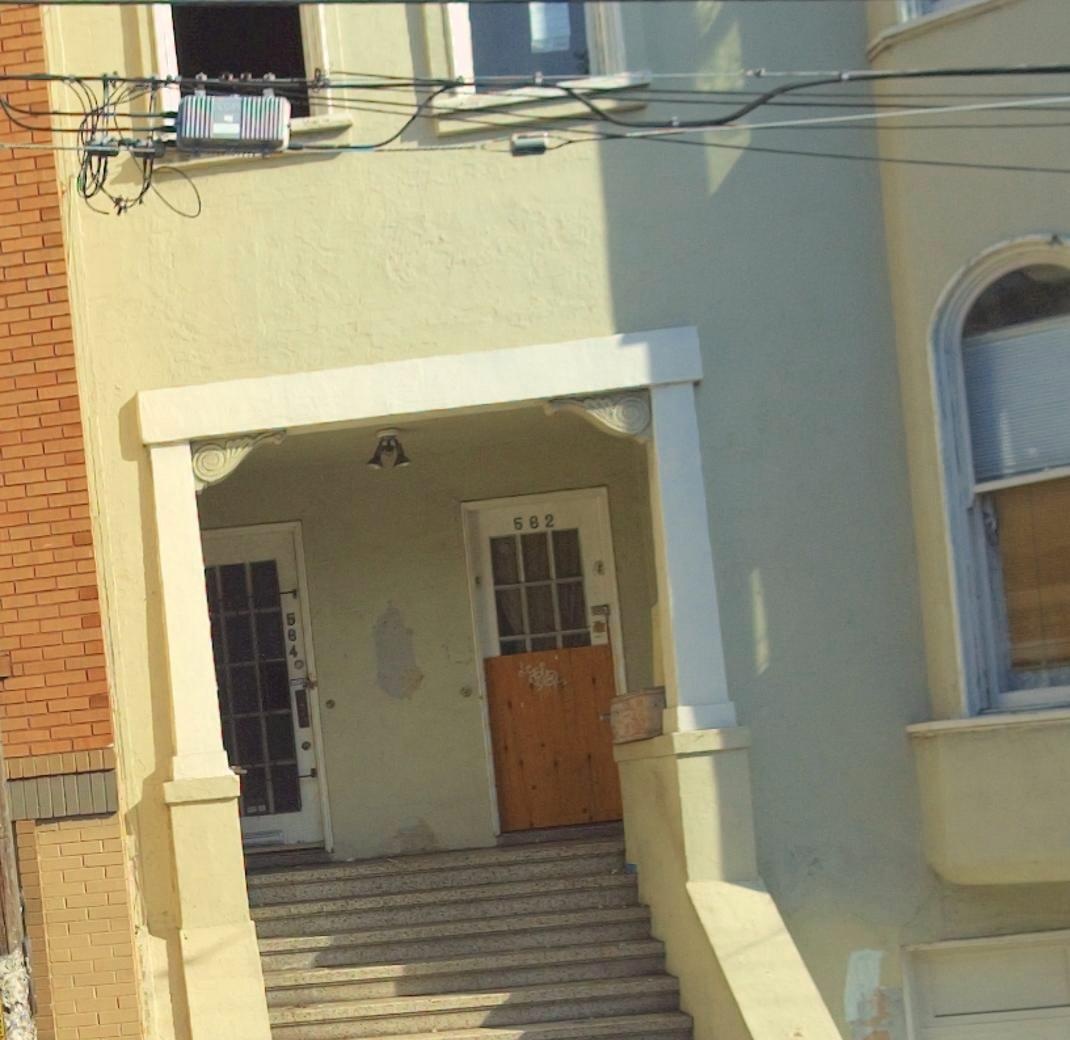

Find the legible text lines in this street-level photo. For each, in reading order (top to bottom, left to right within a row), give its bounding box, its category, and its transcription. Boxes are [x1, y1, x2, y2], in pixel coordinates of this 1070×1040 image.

[511, 512, 556, 533] StreetNumber: 582
[283, 610, 300, 660] StreetNumber: 584